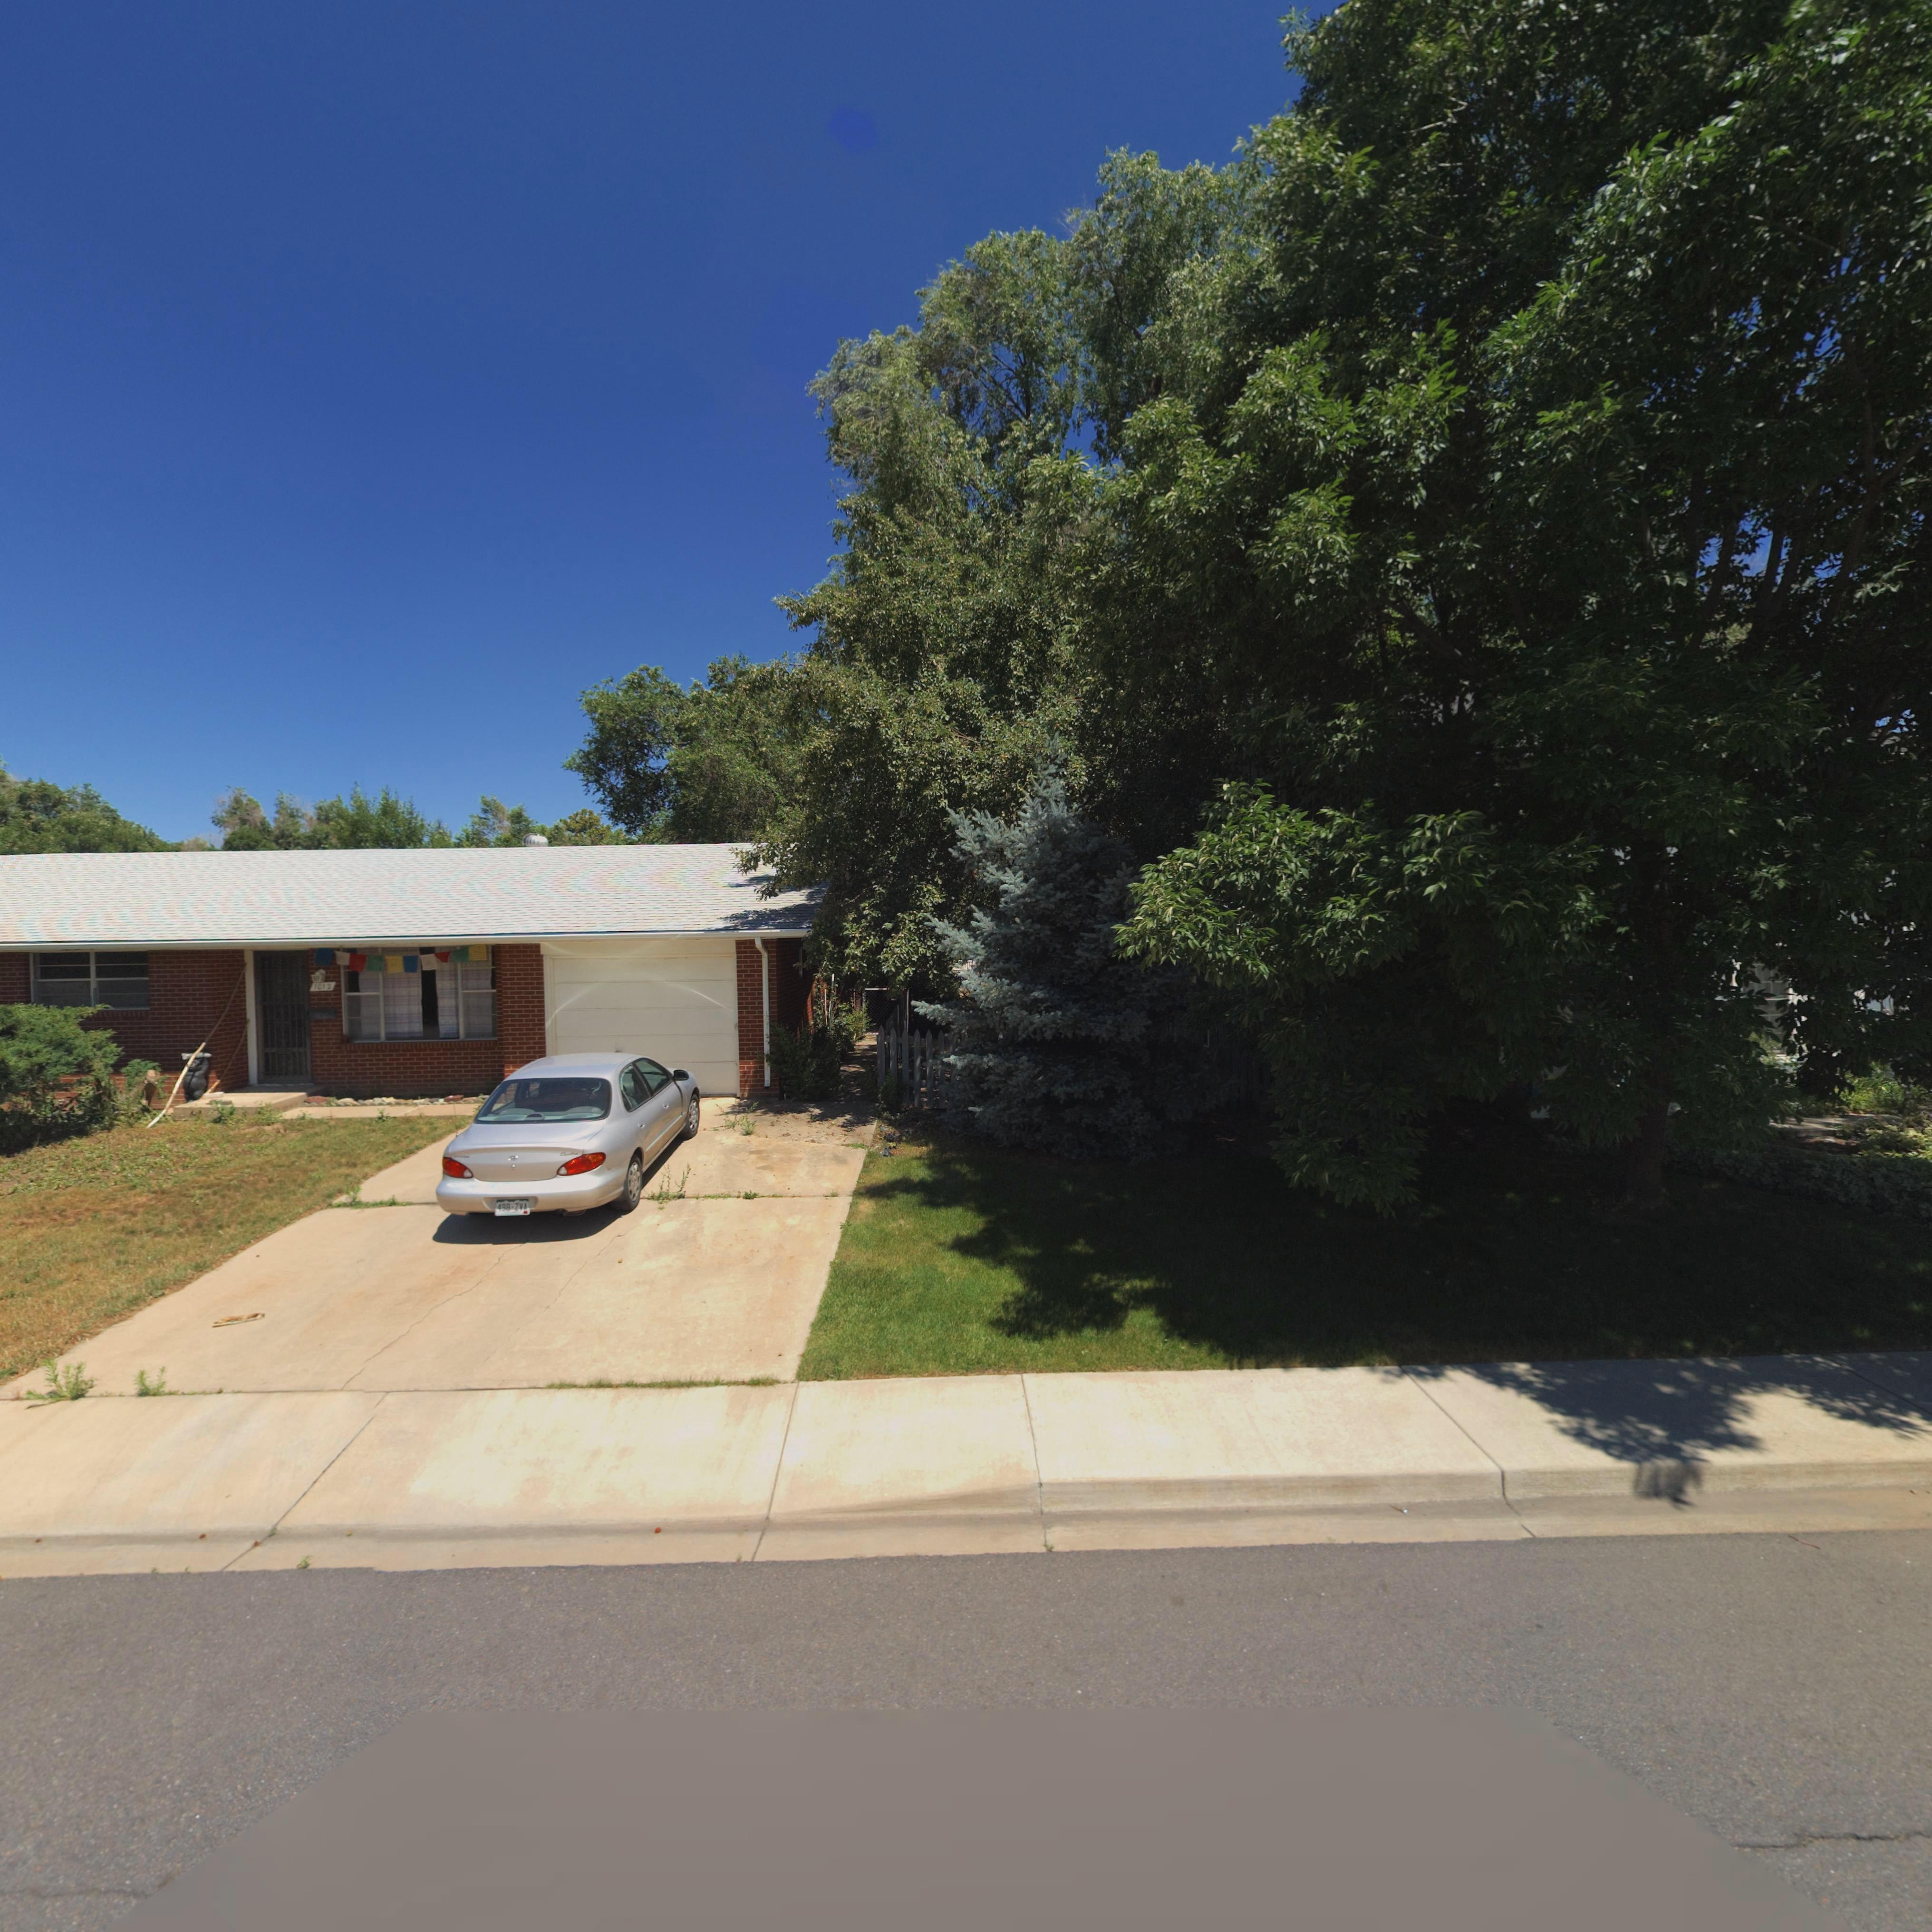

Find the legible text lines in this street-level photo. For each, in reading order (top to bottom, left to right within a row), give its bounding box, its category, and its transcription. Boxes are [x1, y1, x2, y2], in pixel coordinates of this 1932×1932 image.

[313, 982, 331, 989] StreetNumber: 1012